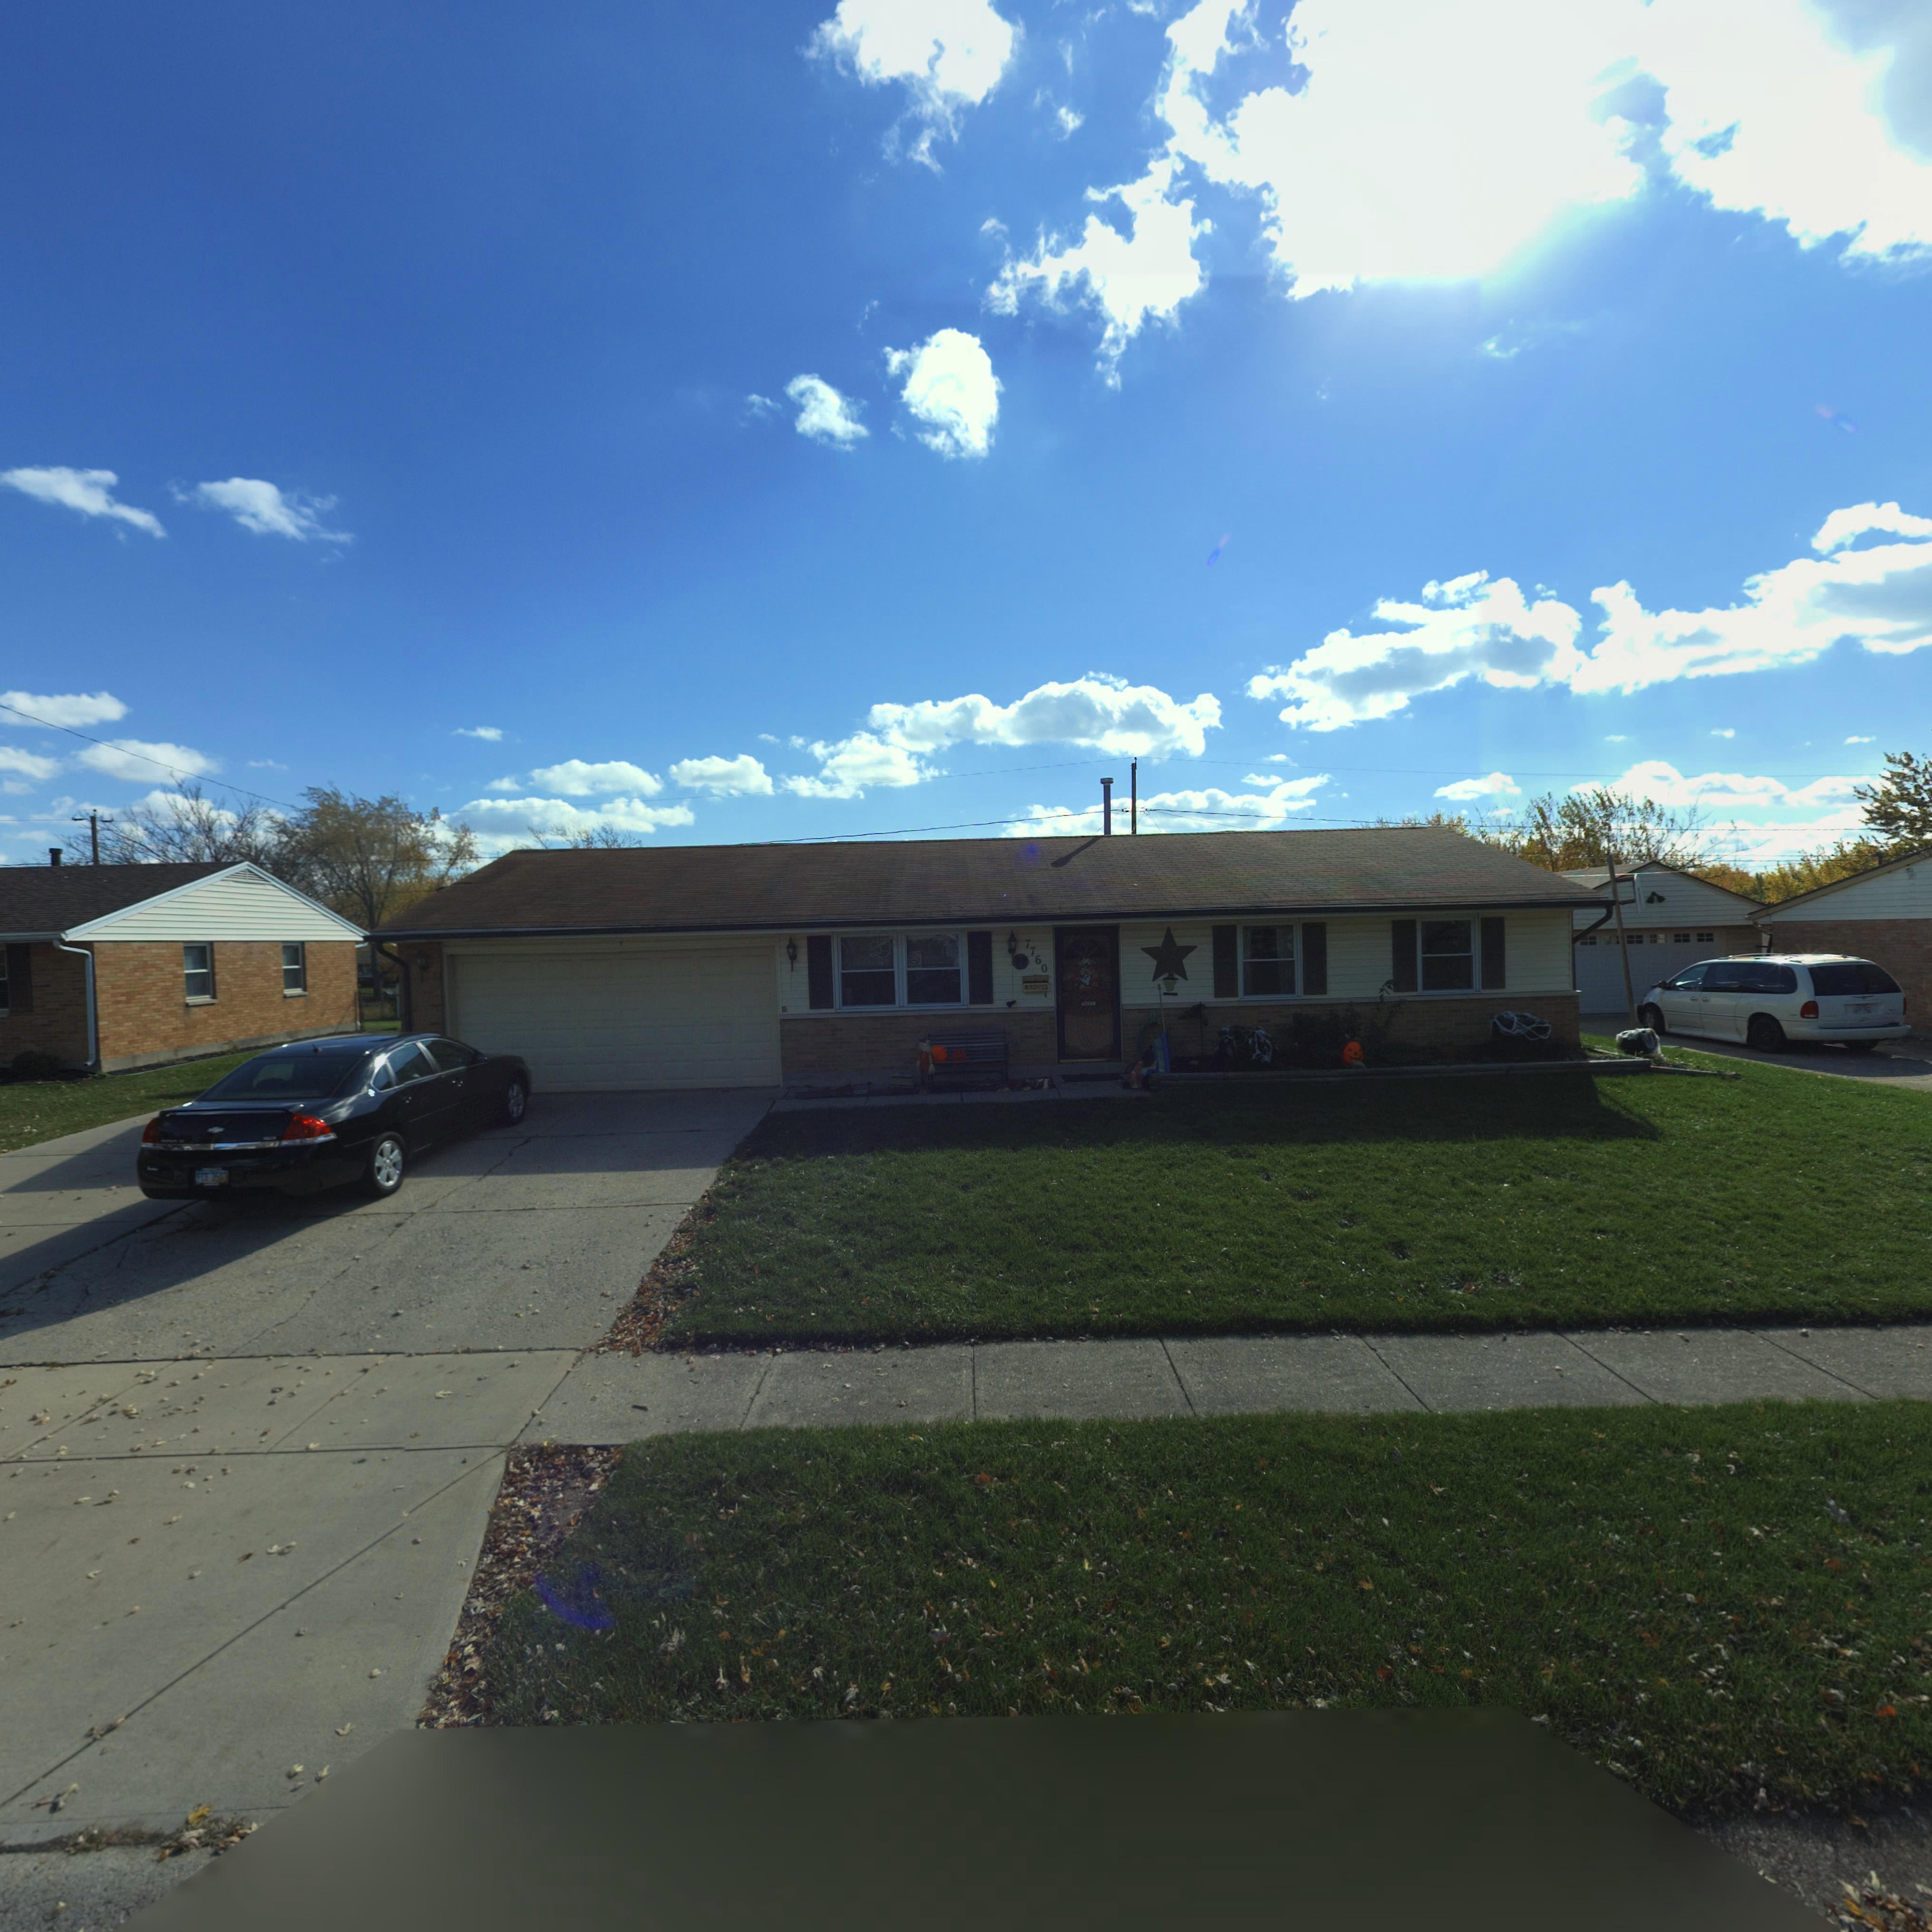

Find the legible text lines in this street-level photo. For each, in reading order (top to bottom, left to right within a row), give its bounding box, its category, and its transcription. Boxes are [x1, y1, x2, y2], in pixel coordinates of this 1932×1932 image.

[1025, 938, 1048, 974] StreetNumber: 7760